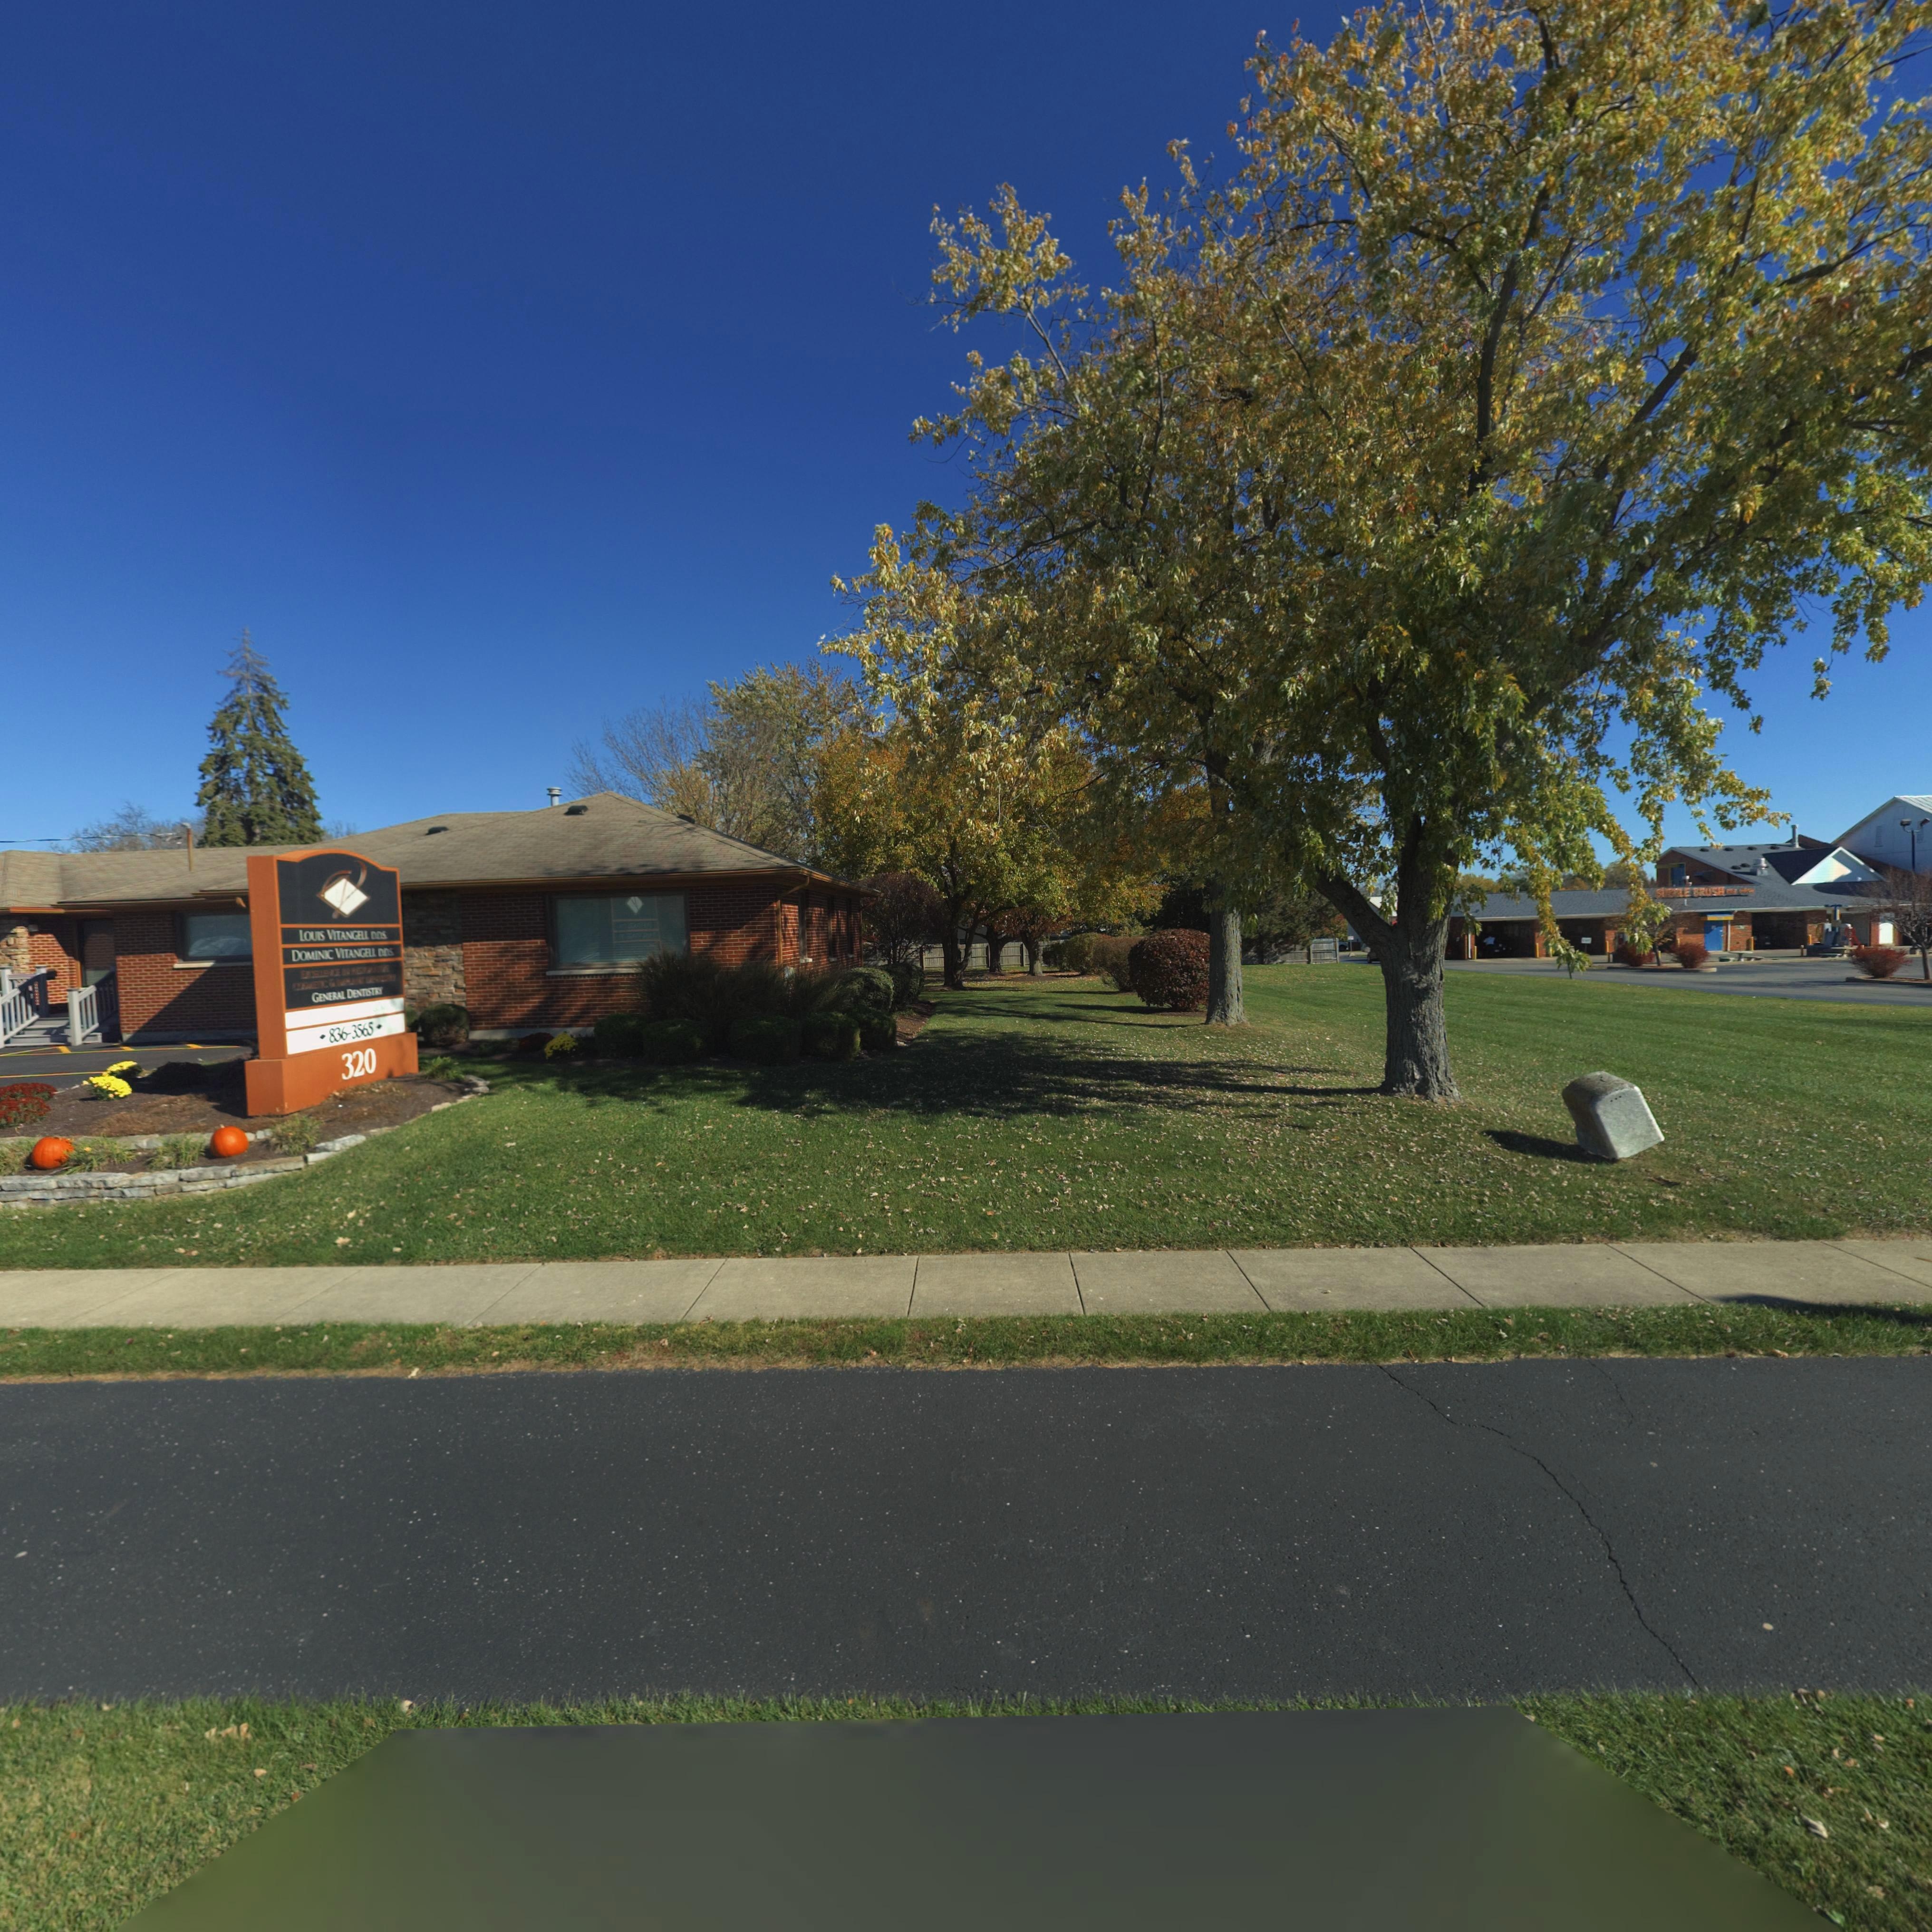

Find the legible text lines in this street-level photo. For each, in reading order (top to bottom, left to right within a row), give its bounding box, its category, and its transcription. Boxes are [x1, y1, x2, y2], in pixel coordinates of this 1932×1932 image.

[1654, 886, 1726, 899] BusinessName: Si**LE BRUSH
[298, 928, 389, 943] None: LOUIS VITANGELL D.D.S.
[290, 946, 396, 963] None: DOMINIC VITANGELL D.D.S.
[310, 985, 385, 1004] None: GENERAL DENTISTRY
[328, 1020, 375, 1044] None: 836-3565
[340, 1046, 378, 1082] StreetNumber: 320